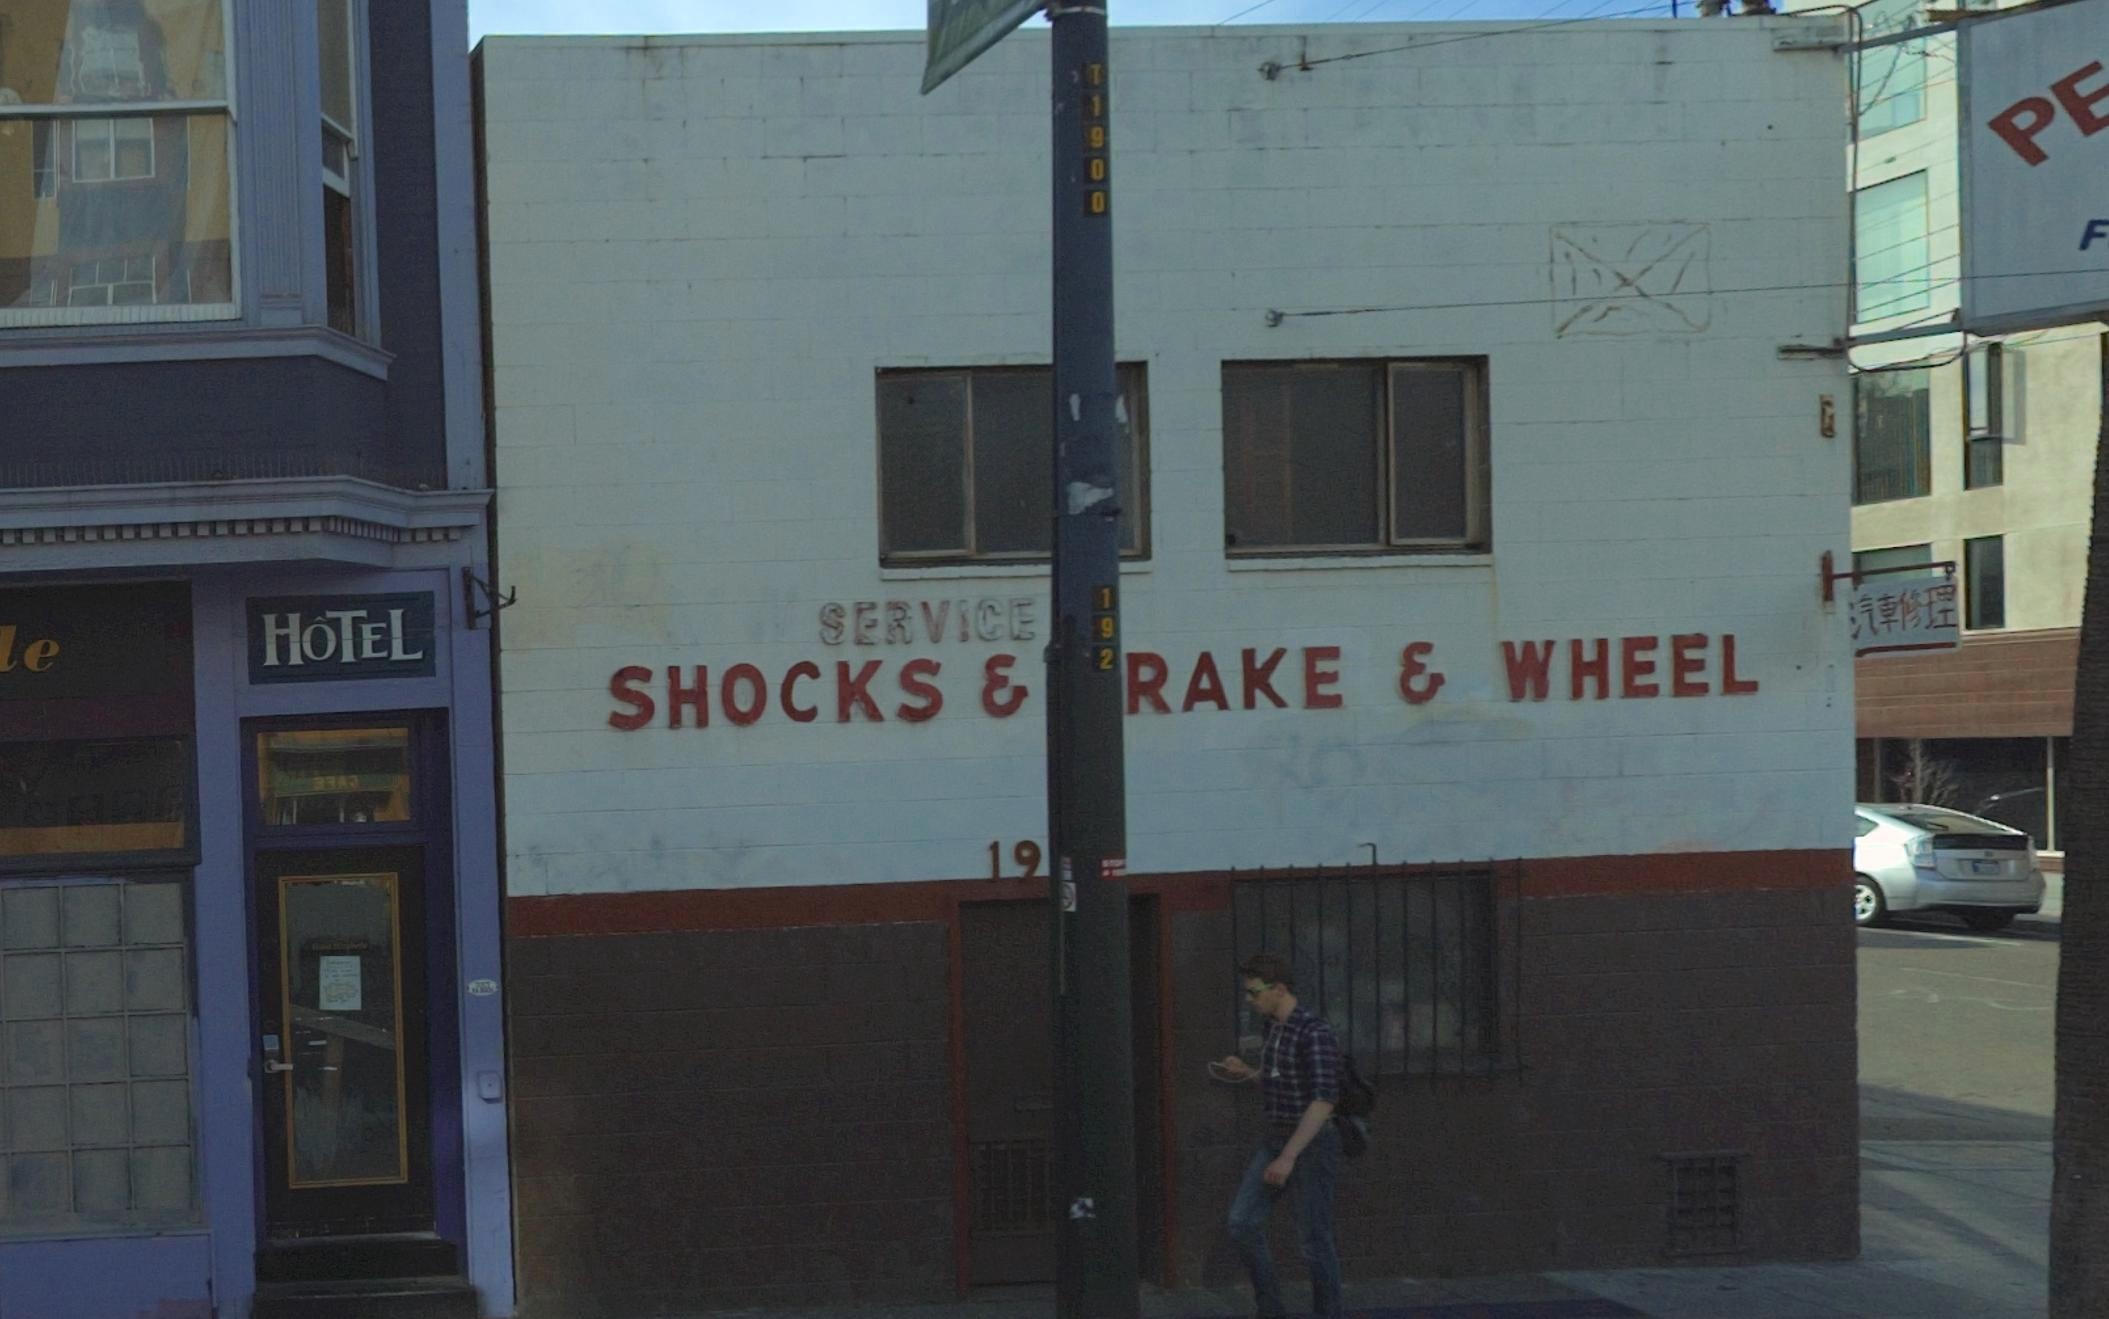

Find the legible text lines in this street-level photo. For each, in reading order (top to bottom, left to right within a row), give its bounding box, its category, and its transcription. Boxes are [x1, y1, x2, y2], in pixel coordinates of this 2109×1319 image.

[1085, 61, 1107, 217] None: T1900
[1976, 90, 2063, 176] None: P
[2071, 215, 2108, 254] None: F
[19, 633, 64, 679] BusinessName: e
[256, 601, 431, 673] BusinessName: HOTEL
[814, 591, 1042, 649] None: SERVICE
[1095, 583, 1118, 674] None: 192
[599, 625, 1767, 740] BusinessName: SHOCKS & *RAKE & WHEEL
[311, 771, 364, 793] None: **A*
[982, 836, 1046, 886] StreetNumber: 19